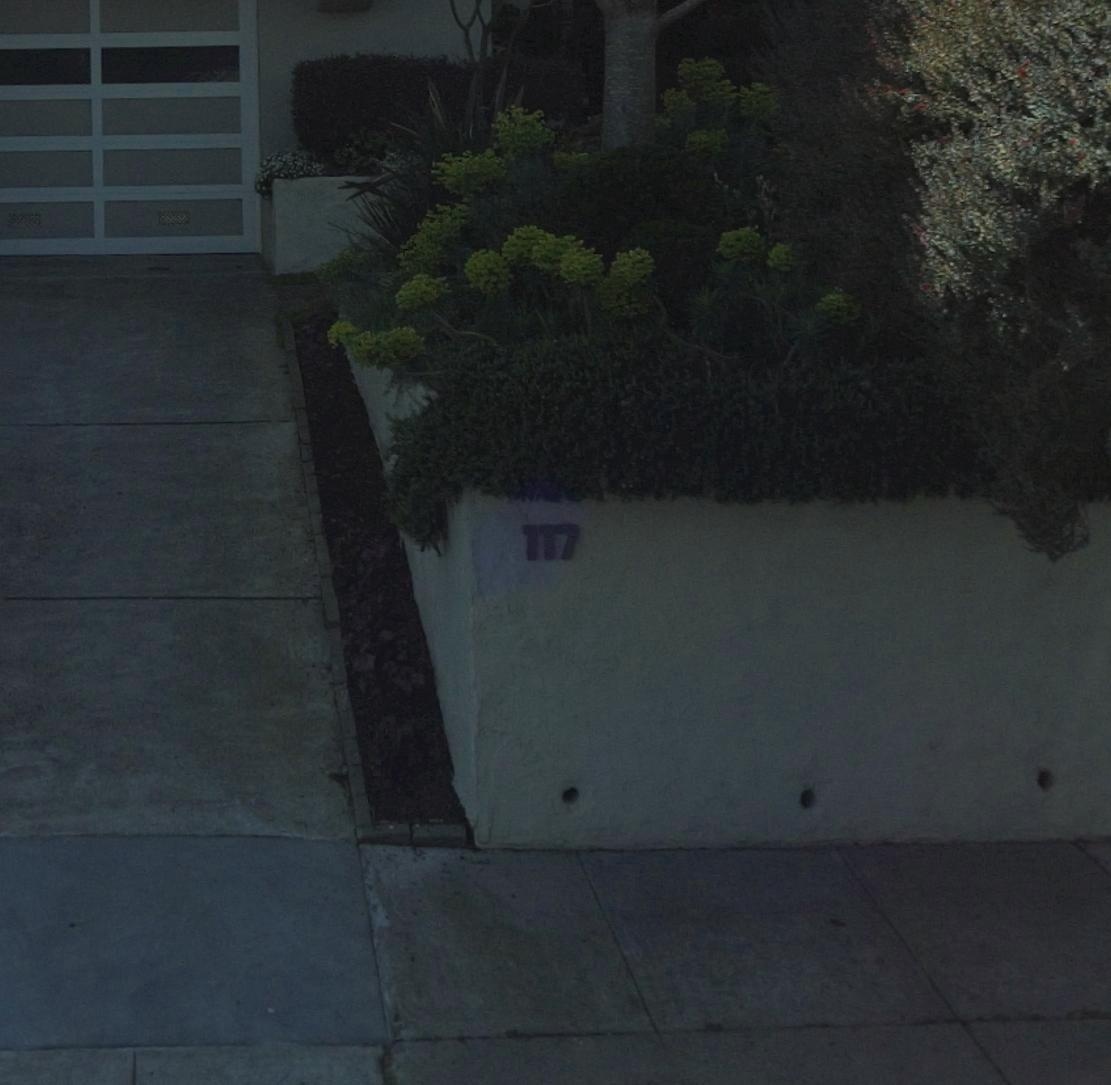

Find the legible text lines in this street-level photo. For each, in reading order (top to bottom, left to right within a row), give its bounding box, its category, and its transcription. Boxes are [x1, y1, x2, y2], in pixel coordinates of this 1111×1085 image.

[518, 519, 583, 564] StreetNumber: 117